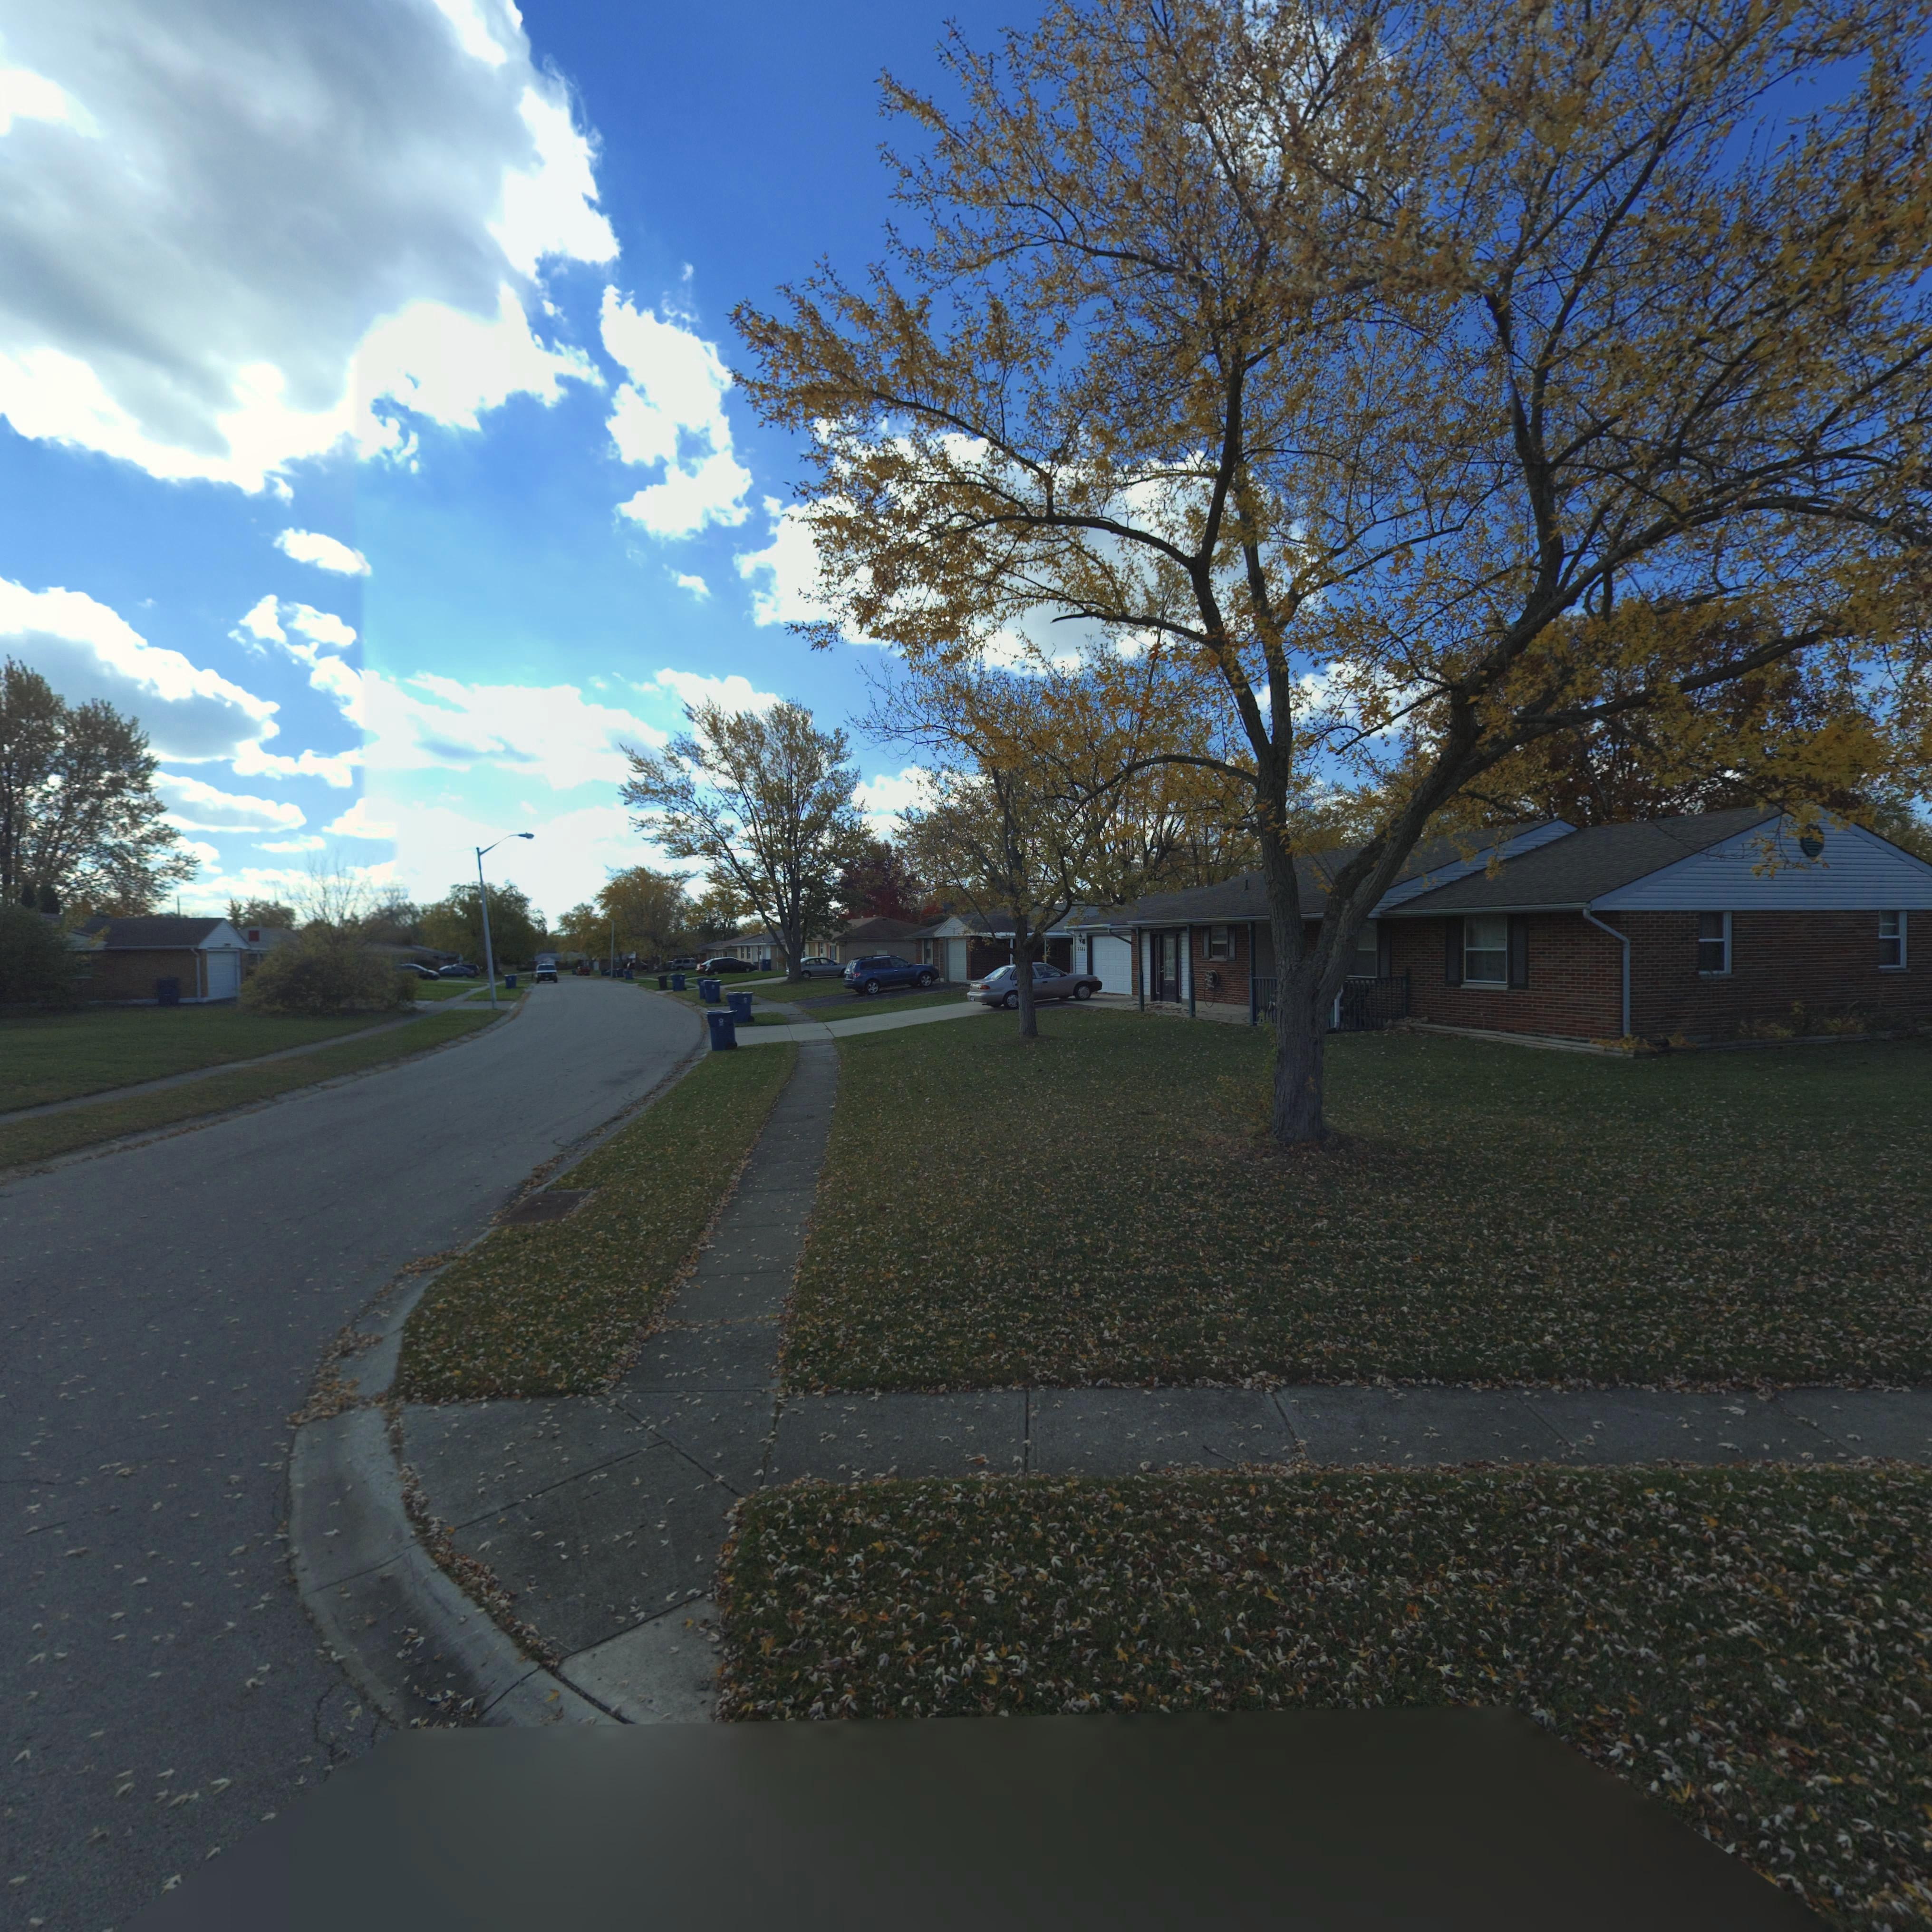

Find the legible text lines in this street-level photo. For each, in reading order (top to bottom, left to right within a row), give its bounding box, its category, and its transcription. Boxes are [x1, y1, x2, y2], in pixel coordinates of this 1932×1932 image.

[1077, 947, 1086, 951] StreetNumber: 778*